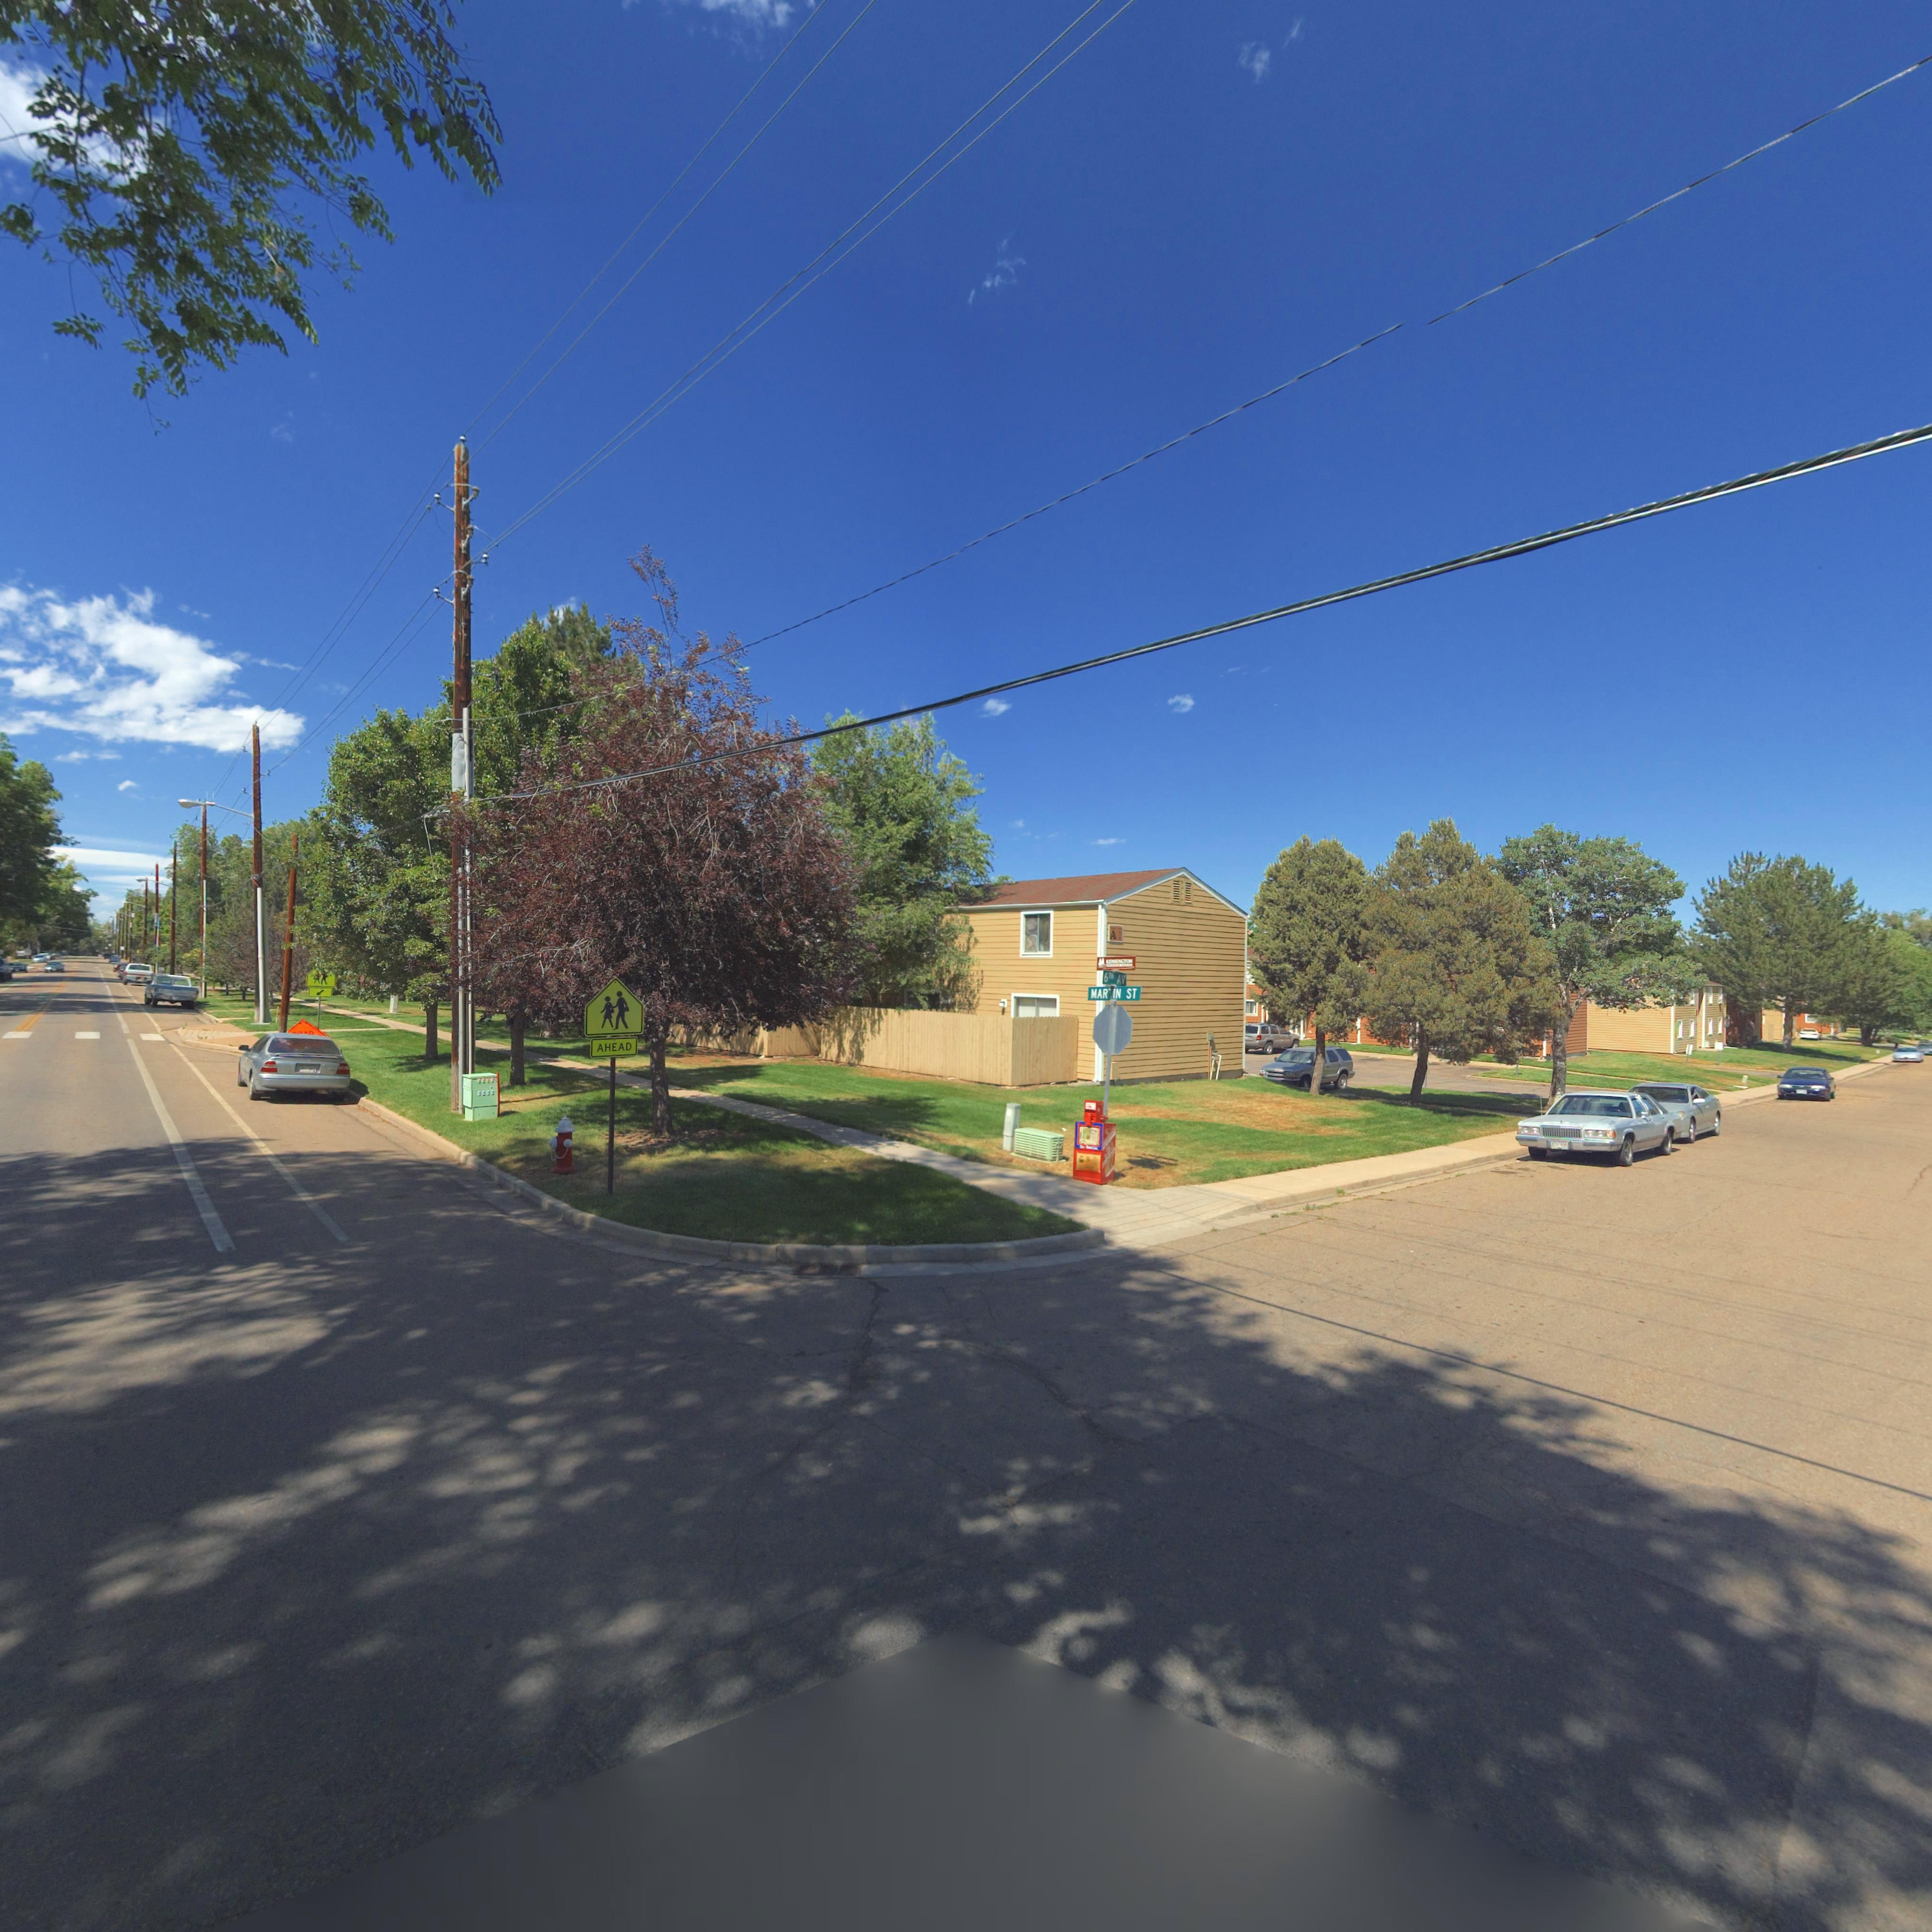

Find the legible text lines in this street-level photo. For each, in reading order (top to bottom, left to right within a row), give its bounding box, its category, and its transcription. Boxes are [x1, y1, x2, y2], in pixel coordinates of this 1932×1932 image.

[1103, 971, 1126, 985] StreetName: 6TH AV
[1091, 988, 1137, 999] StreetName: MARTIN ST